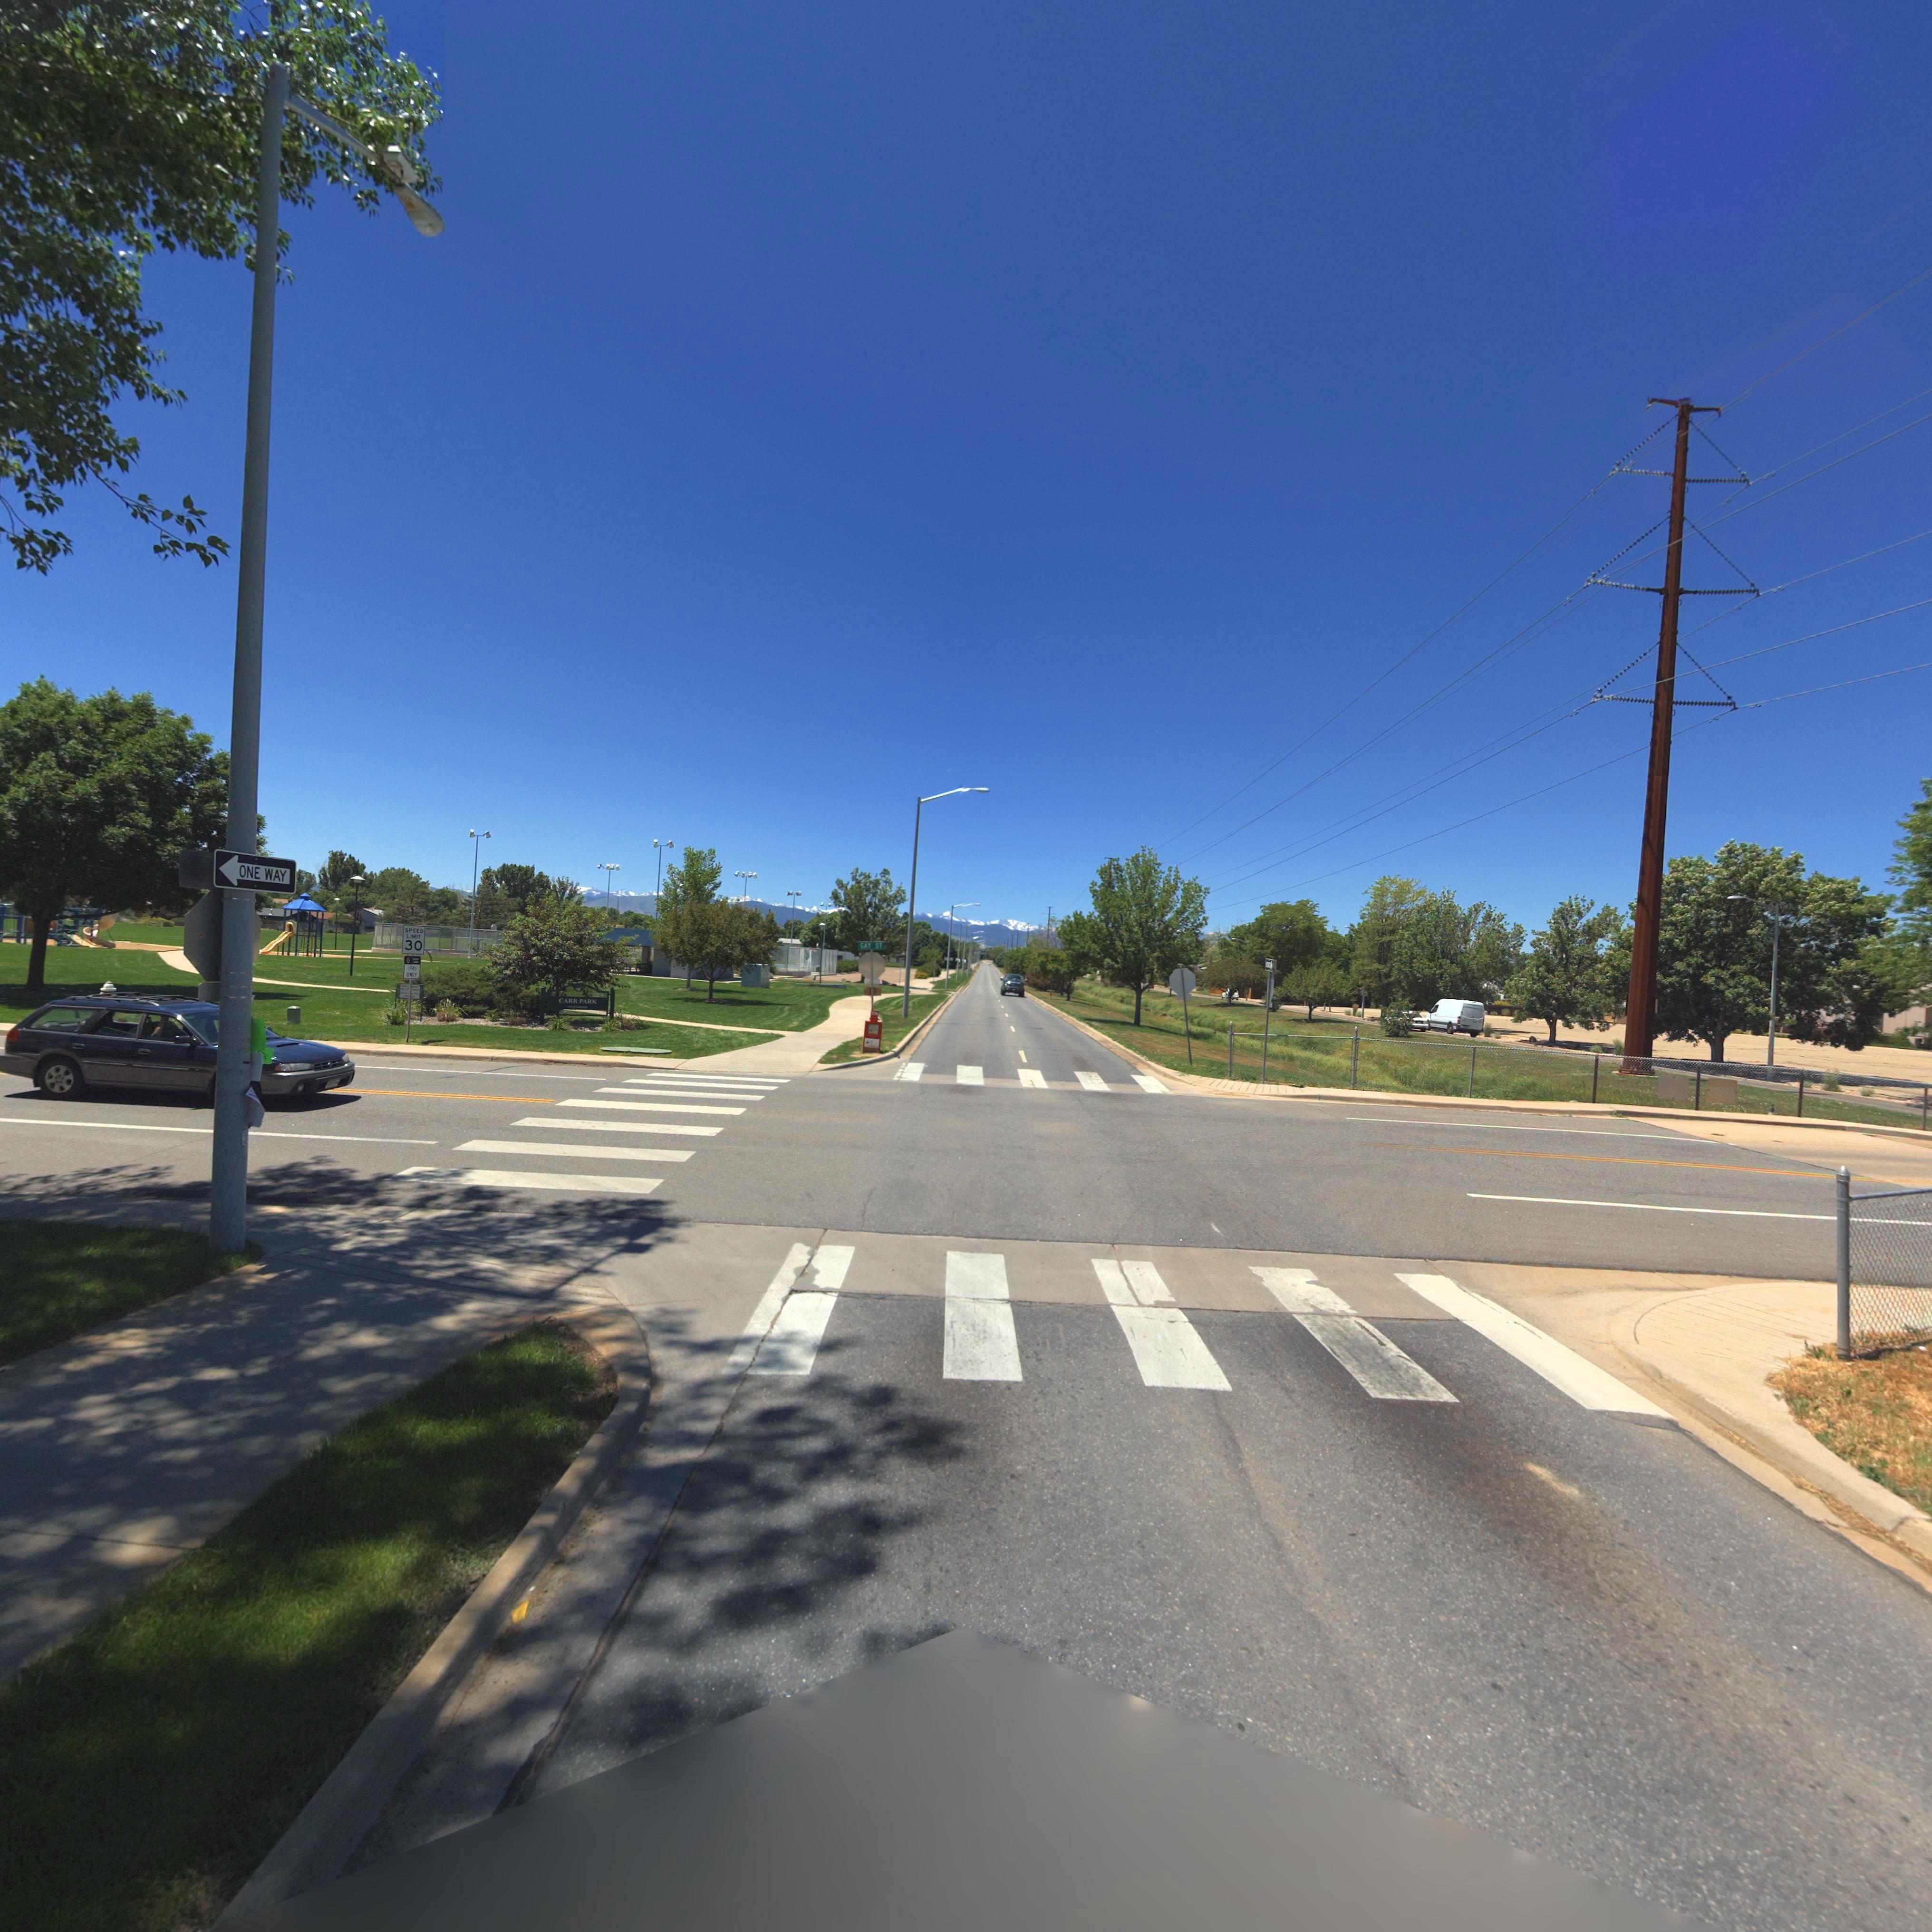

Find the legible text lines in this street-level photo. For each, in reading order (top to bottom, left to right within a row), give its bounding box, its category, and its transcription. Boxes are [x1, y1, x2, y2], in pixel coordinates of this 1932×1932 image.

[860, 942, 883, 949] StreetNumber: GAY ST
[557, 997, 598, 1005] StreetNumber: CARR PARK